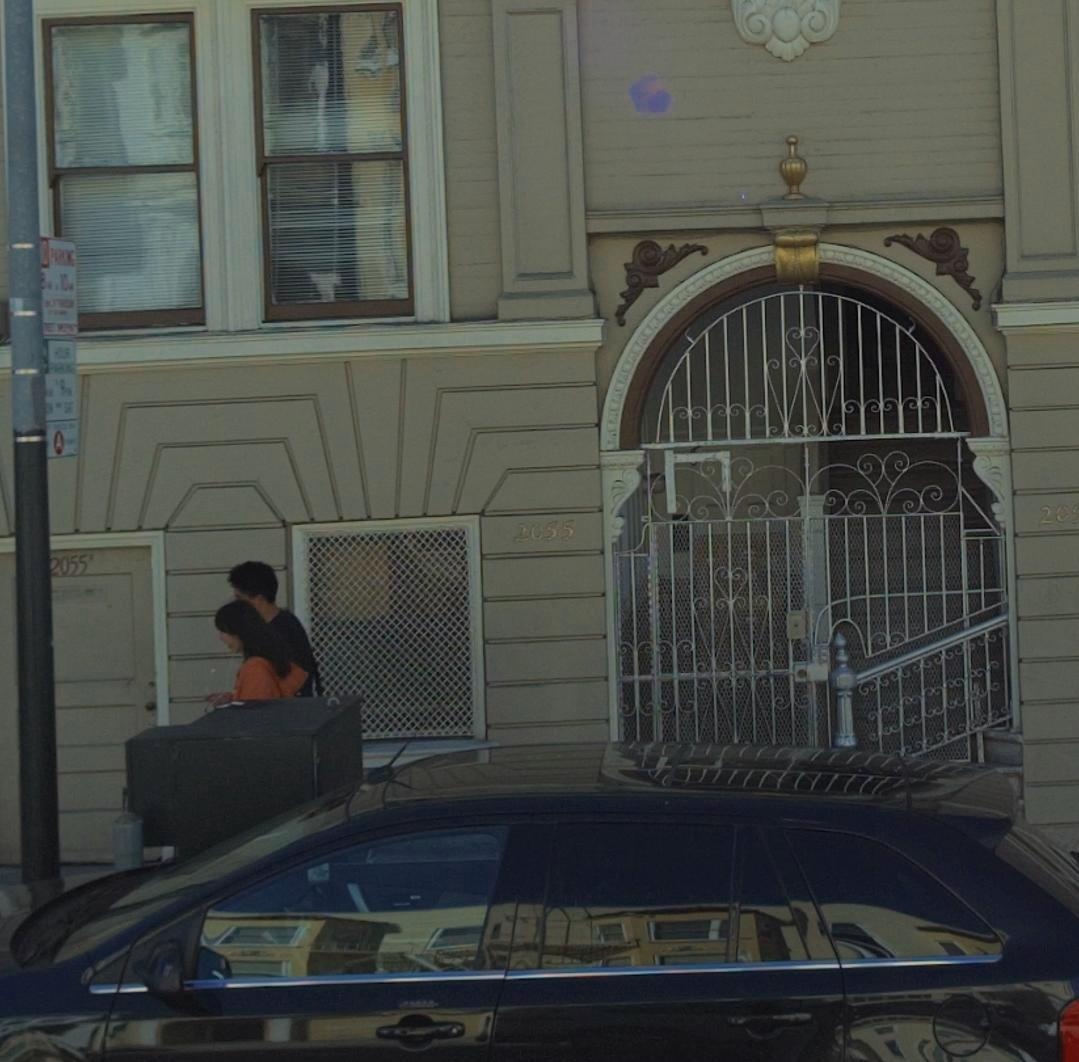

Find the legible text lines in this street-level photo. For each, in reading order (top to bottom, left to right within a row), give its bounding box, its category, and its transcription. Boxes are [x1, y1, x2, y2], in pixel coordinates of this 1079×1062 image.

[49, 246, 76, 268] None: PARKING
[58, 272, 70, 292] None: 10
[52, 346, 72, 360] None: HOUR
[49, 361, 76, 375] None: PARKING
[54, 432, 64, 454] None: A
[513, 516, 576, 545] StreetNumber: 2055
[59, 553, 90, 576] StreetNumber: 055